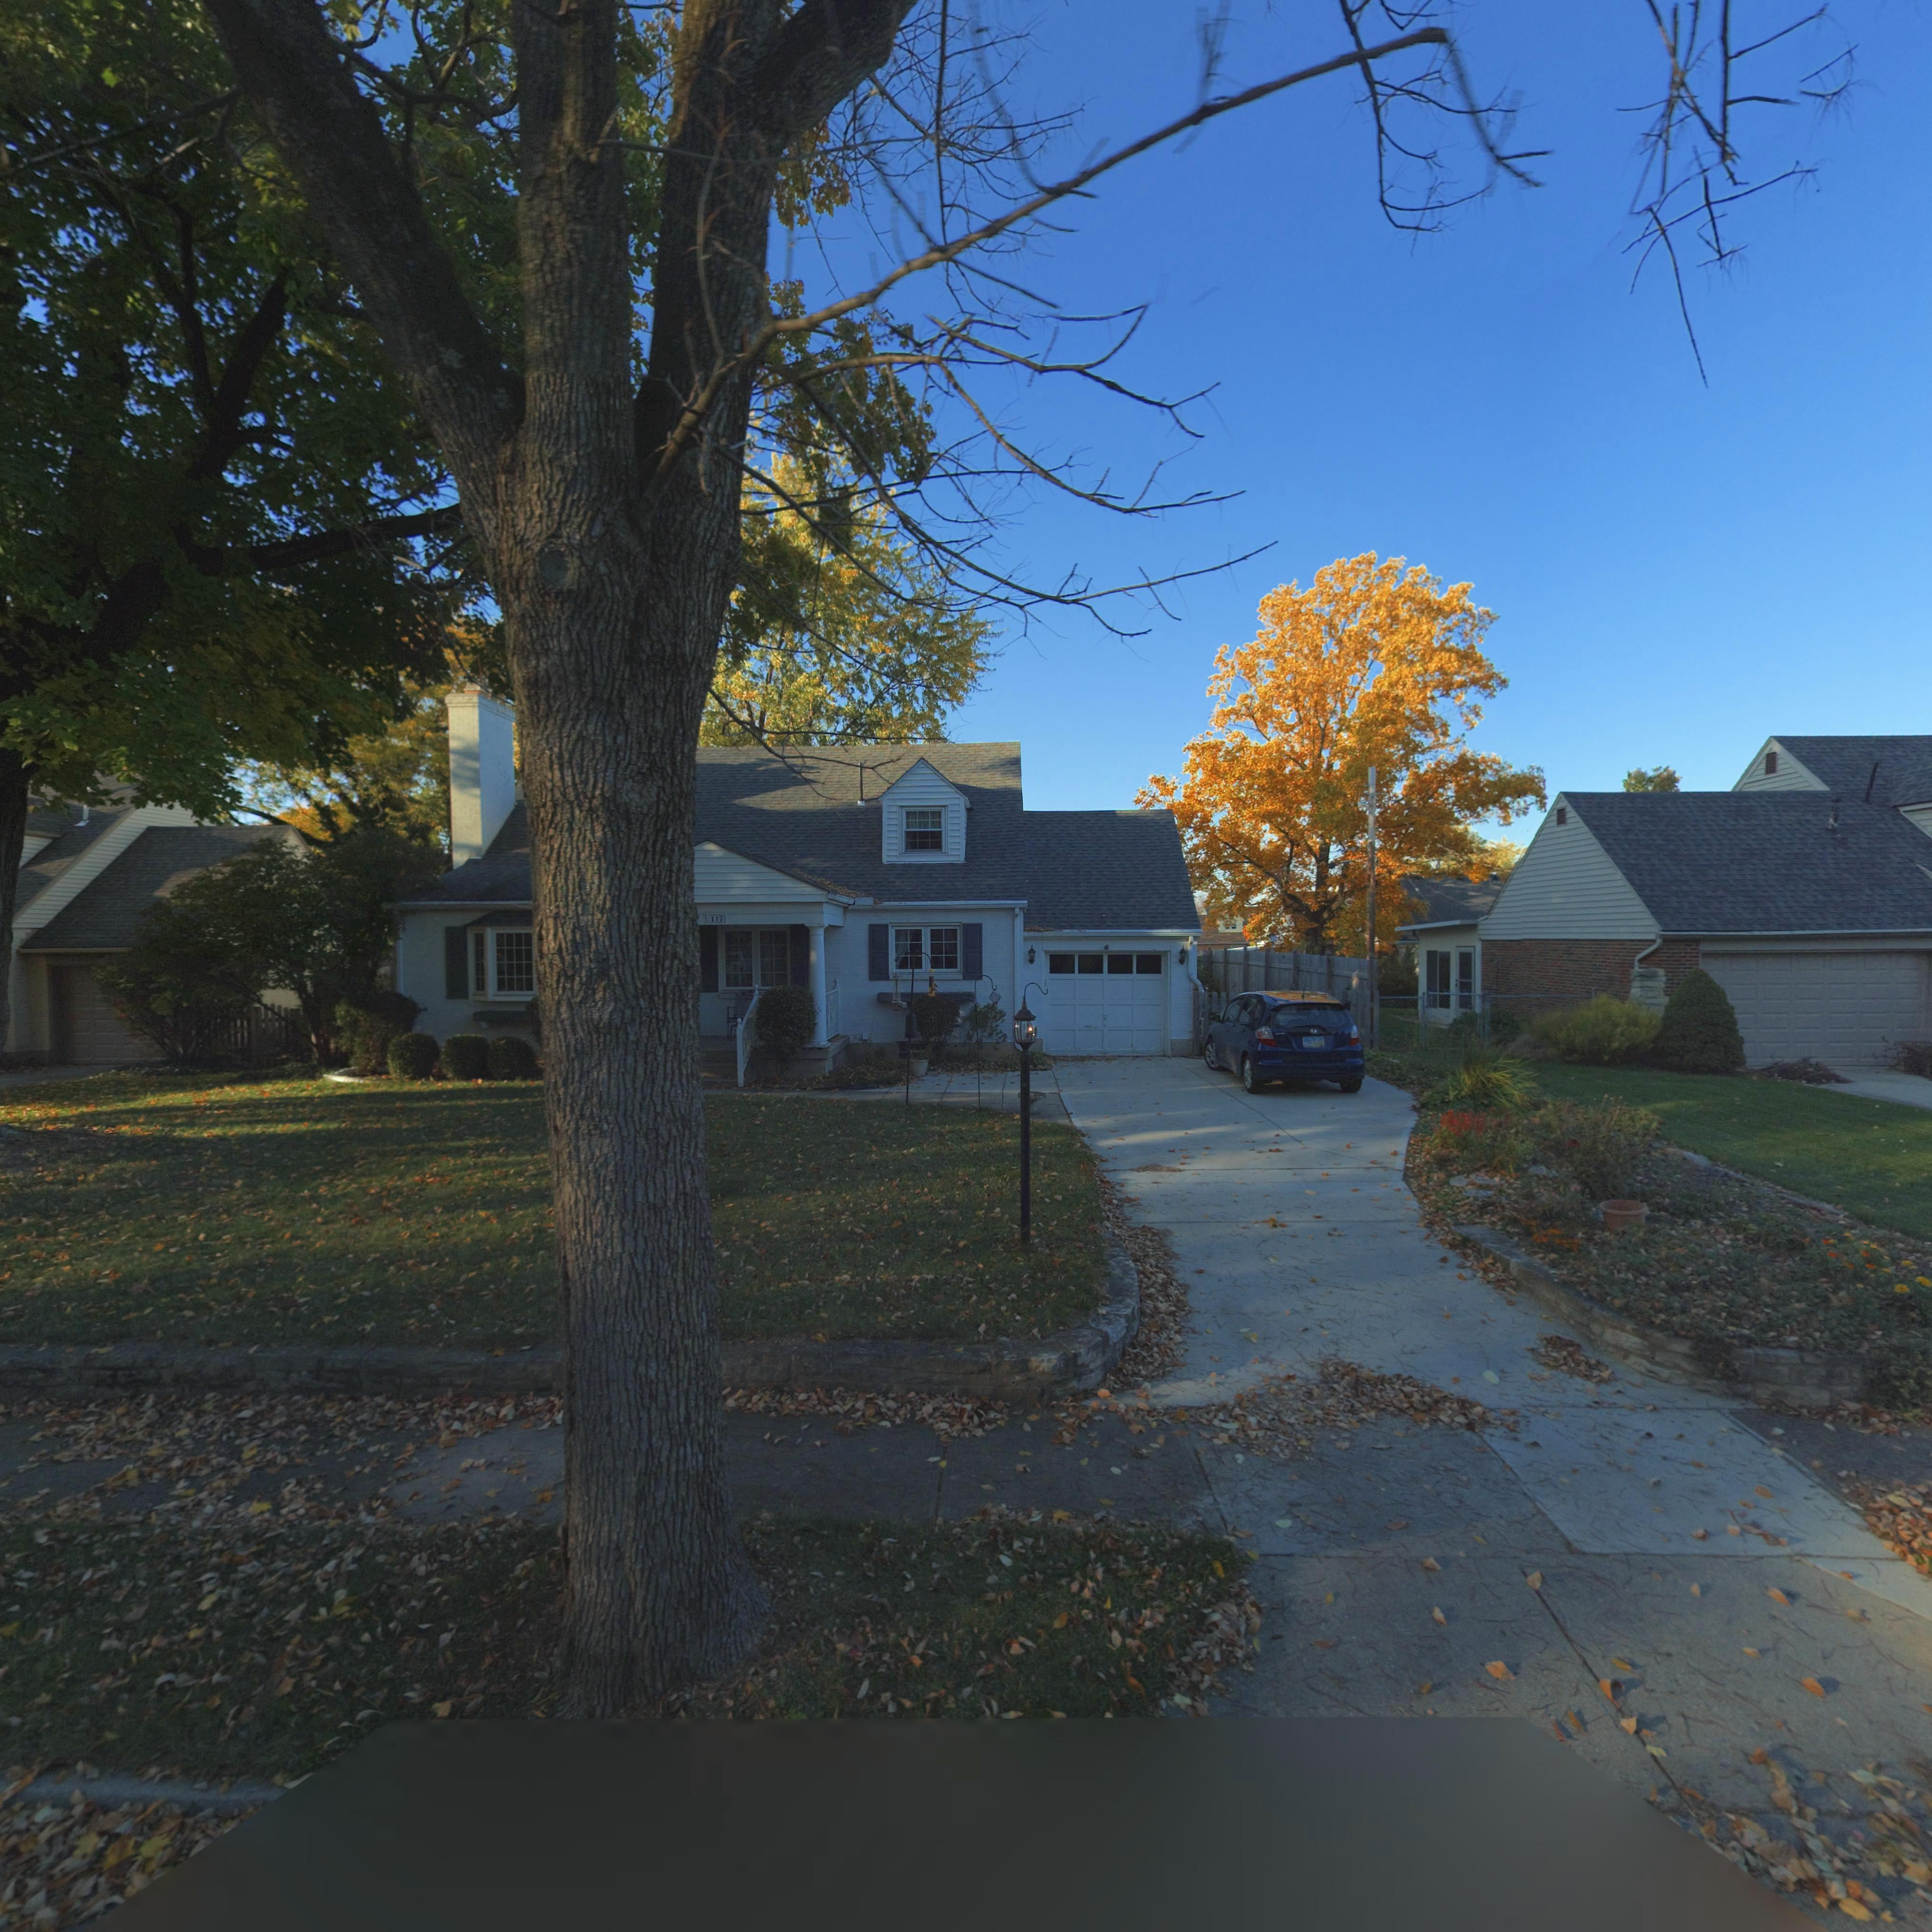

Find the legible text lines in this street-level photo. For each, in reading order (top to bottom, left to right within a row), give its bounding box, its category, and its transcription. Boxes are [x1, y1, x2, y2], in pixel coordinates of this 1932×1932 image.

[710, 915, 724, 923] StreetNumber: 117